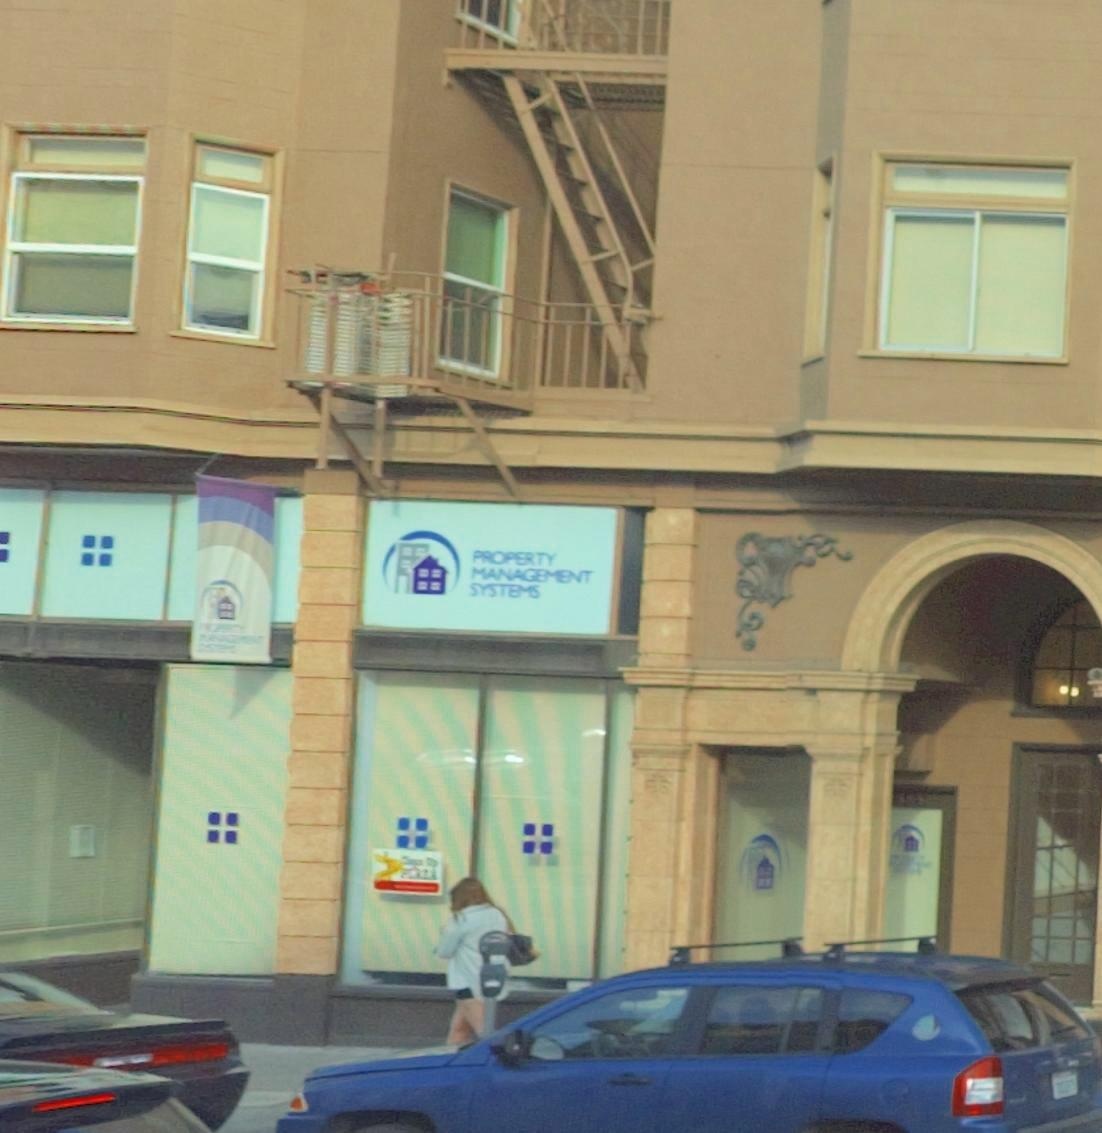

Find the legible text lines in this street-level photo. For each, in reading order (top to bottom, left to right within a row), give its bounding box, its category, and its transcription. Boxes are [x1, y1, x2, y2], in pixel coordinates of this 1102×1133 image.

[467, 546, 563, 569] BusinessName: PROPERTY
[468, 564, 598, 586] BusinessName: MANAGEMENT
[466, 580, 546, 601] BusinessName: SYSTEMS